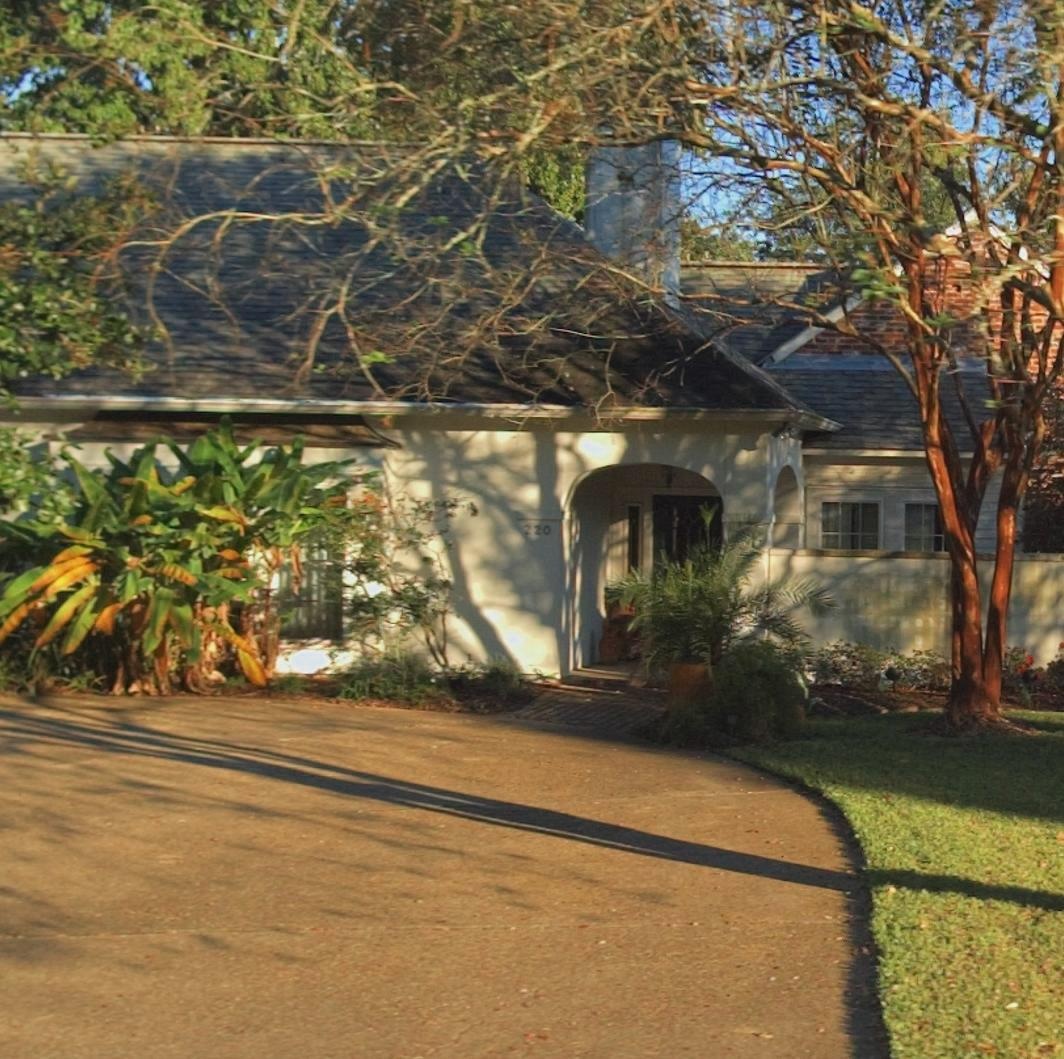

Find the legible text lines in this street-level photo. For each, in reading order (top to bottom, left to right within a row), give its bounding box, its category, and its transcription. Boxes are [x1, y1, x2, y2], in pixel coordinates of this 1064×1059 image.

[523, 523, 552, 536] StreetNumber: 220